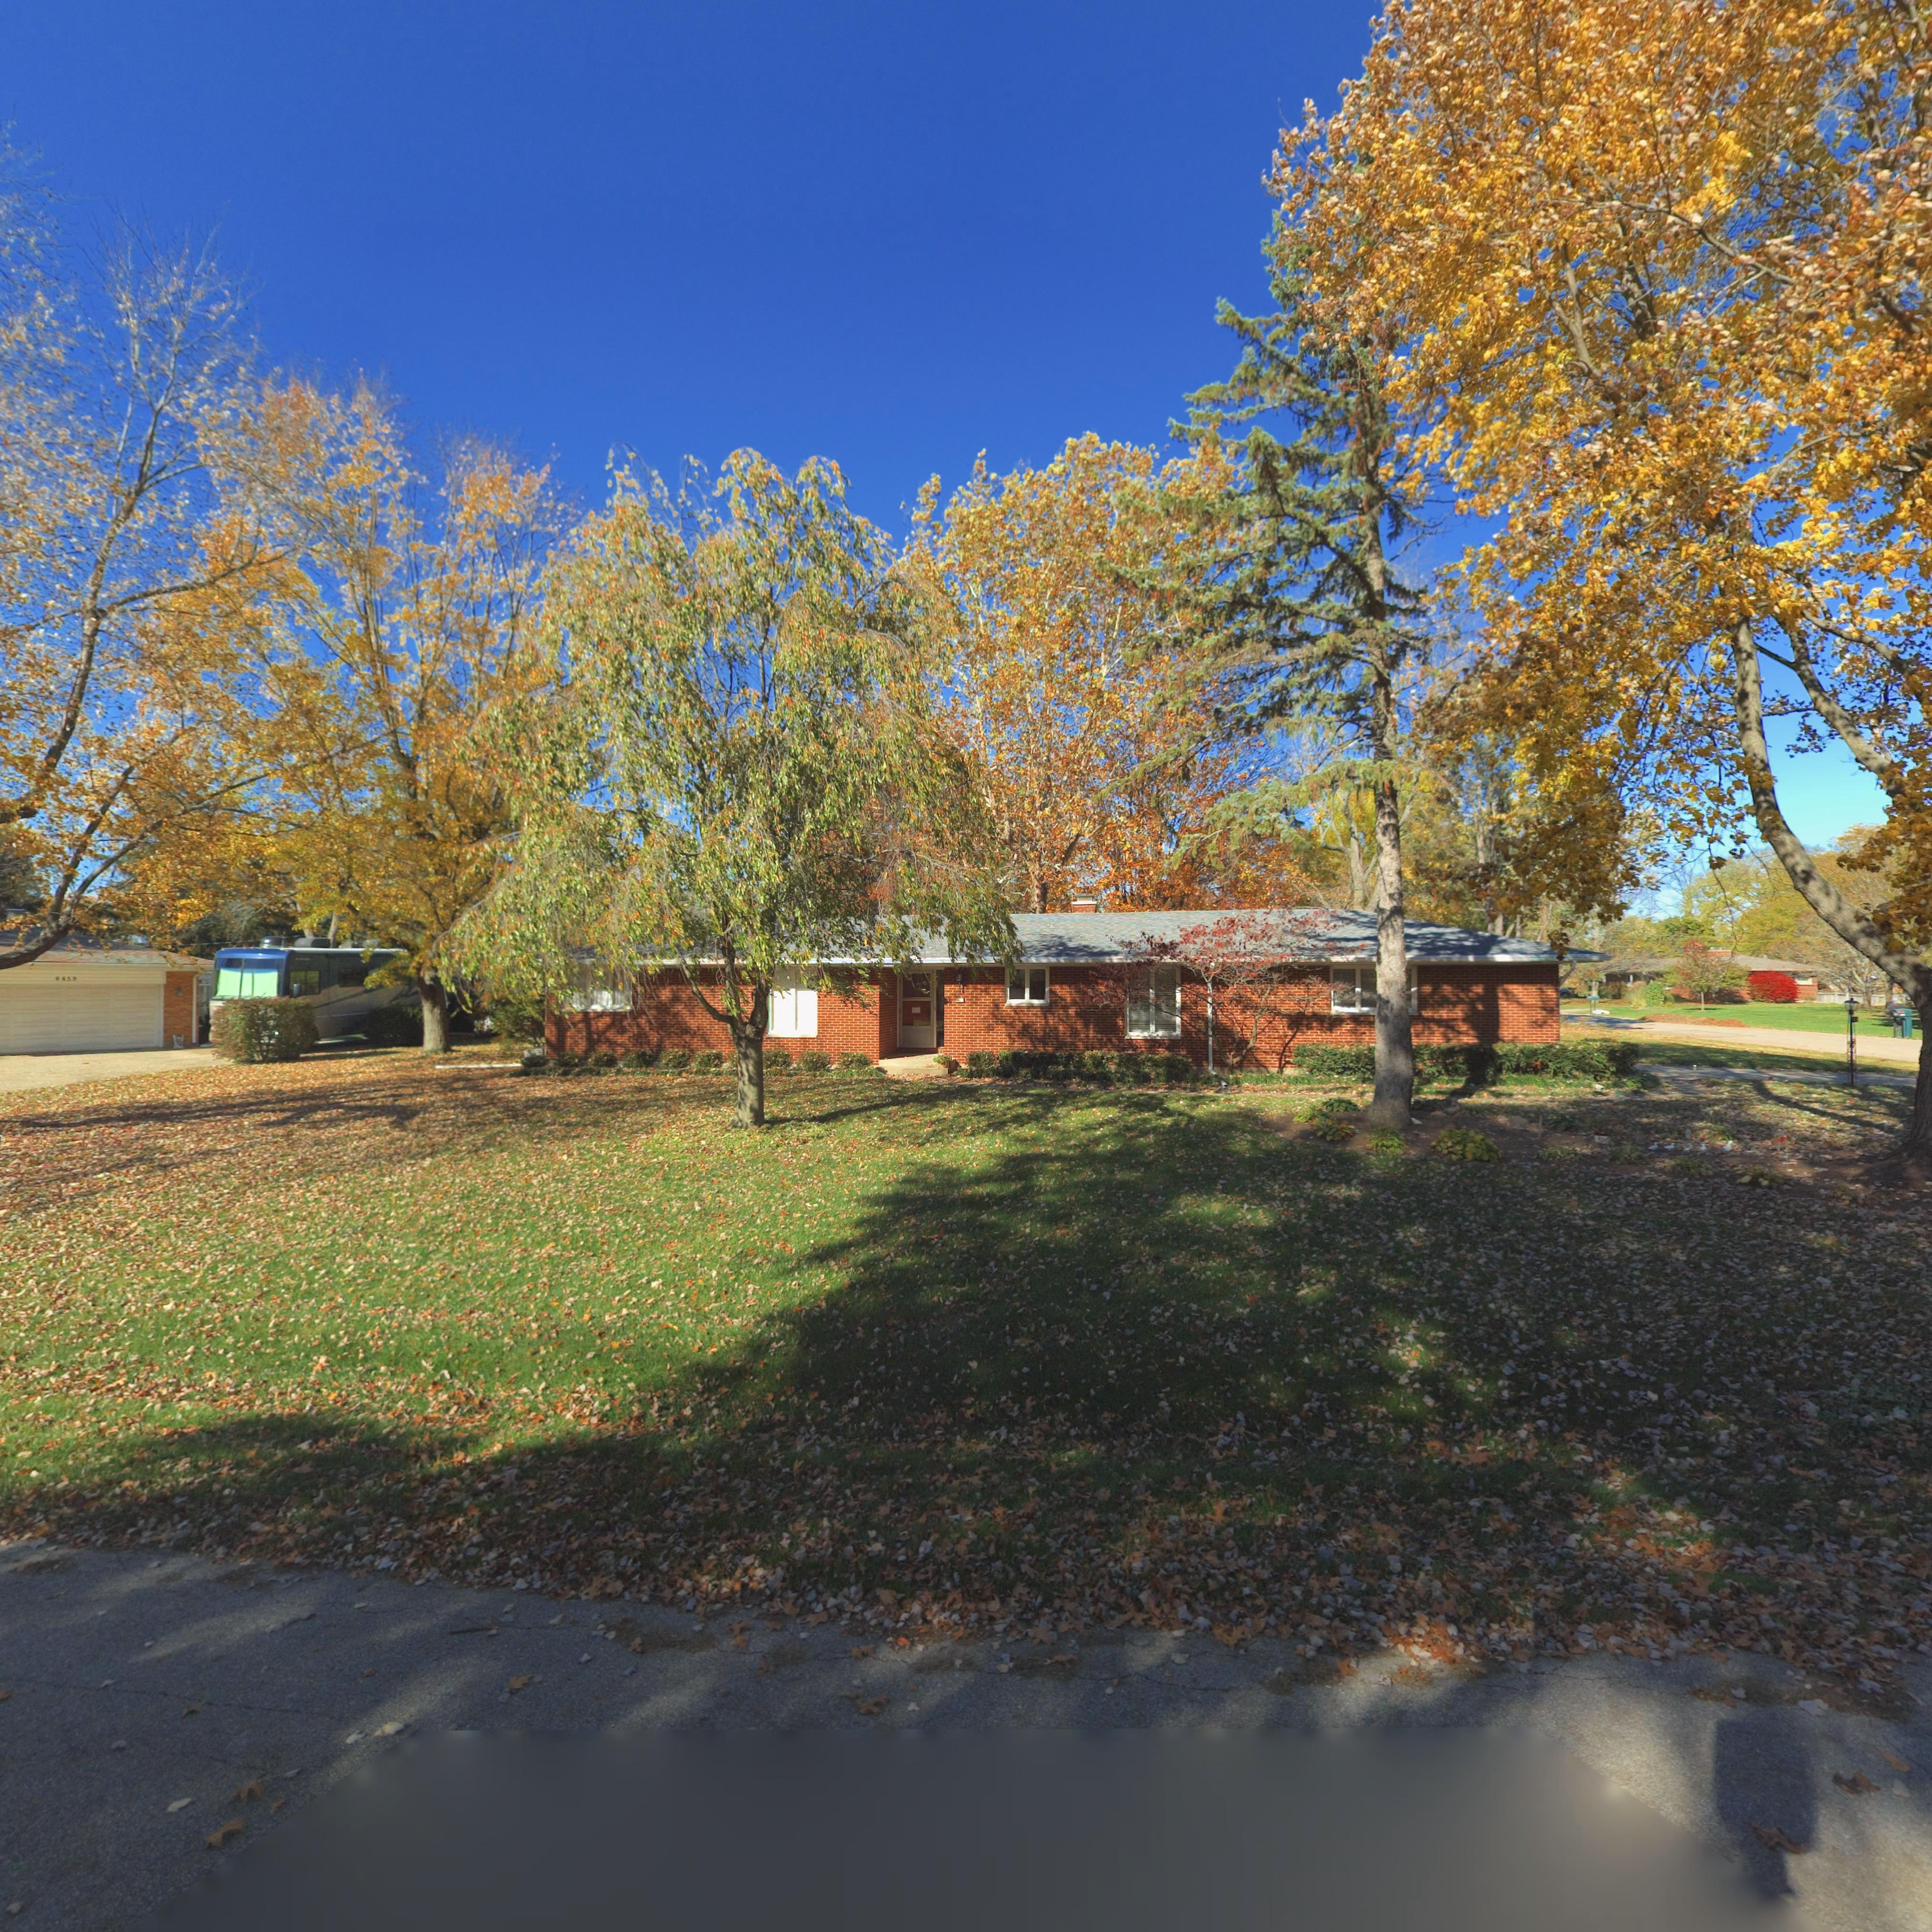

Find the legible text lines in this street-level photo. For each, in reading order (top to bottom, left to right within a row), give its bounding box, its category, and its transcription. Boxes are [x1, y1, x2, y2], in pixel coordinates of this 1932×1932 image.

[55, 976, 77, 981] StreetNumber: *450